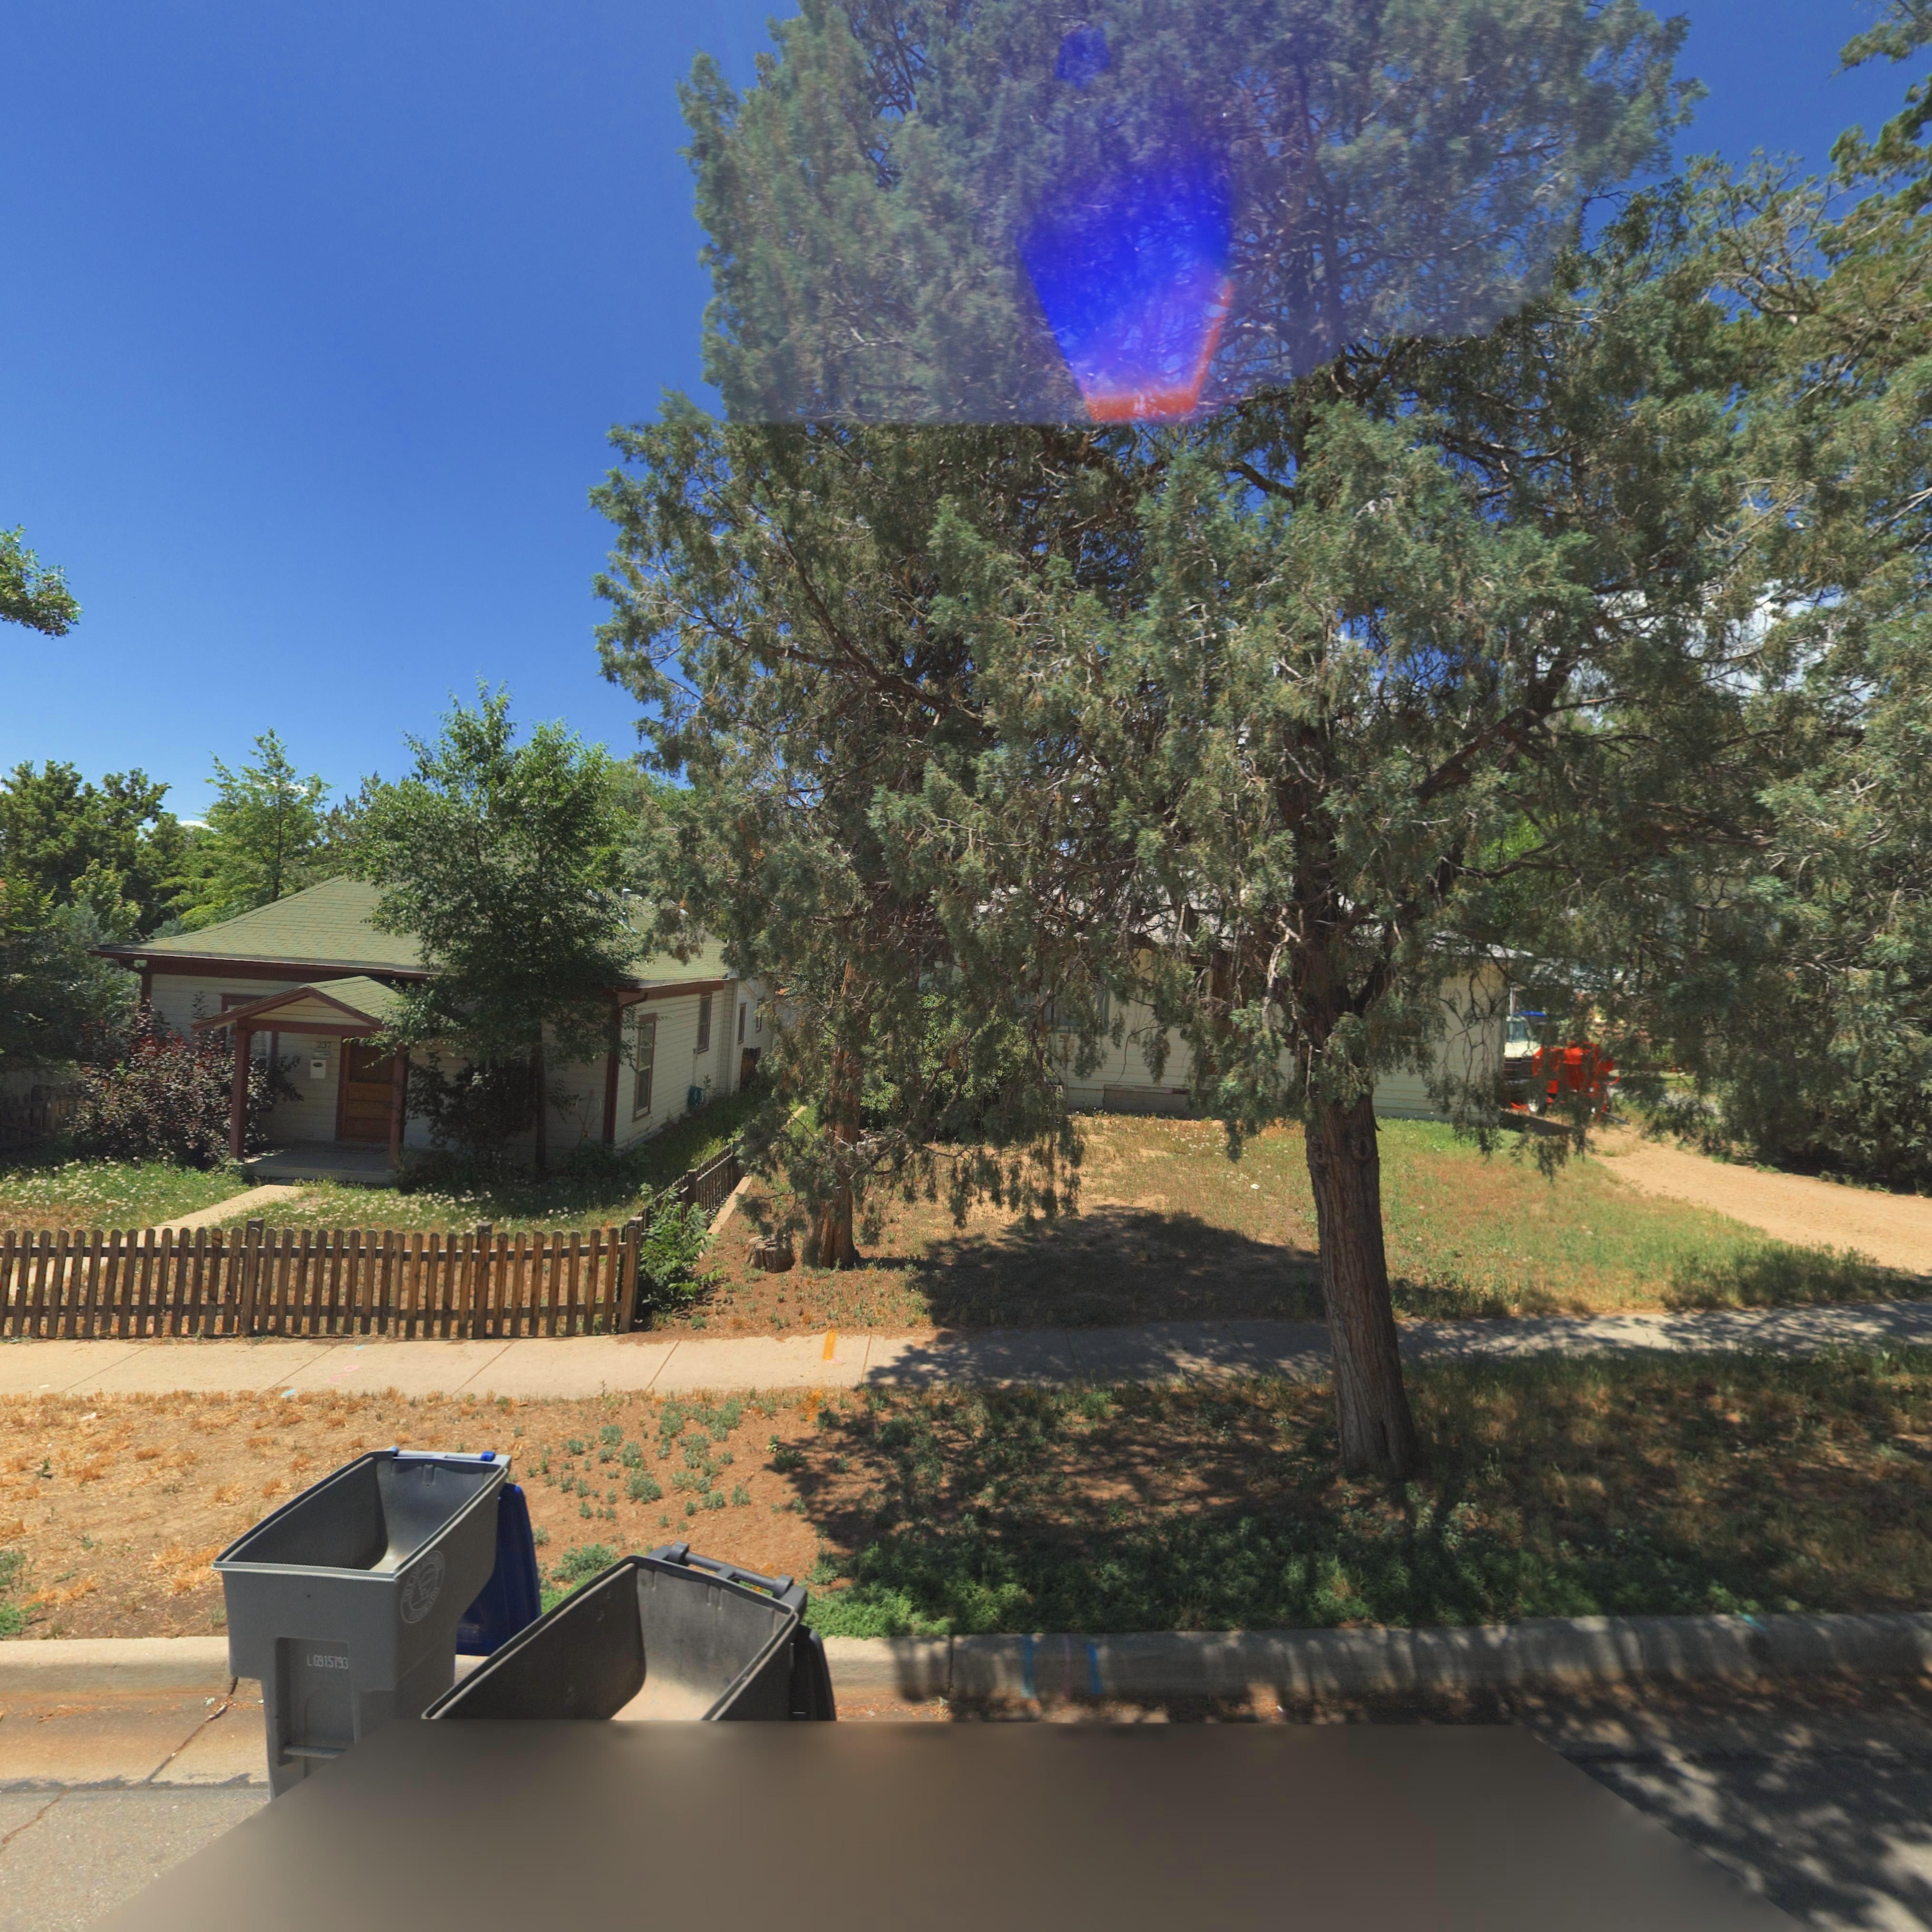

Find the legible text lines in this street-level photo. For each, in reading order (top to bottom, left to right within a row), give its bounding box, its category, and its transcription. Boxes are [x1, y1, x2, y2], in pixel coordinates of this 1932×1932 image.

[316, 1040, 332, 1049] StreetNumber: 237